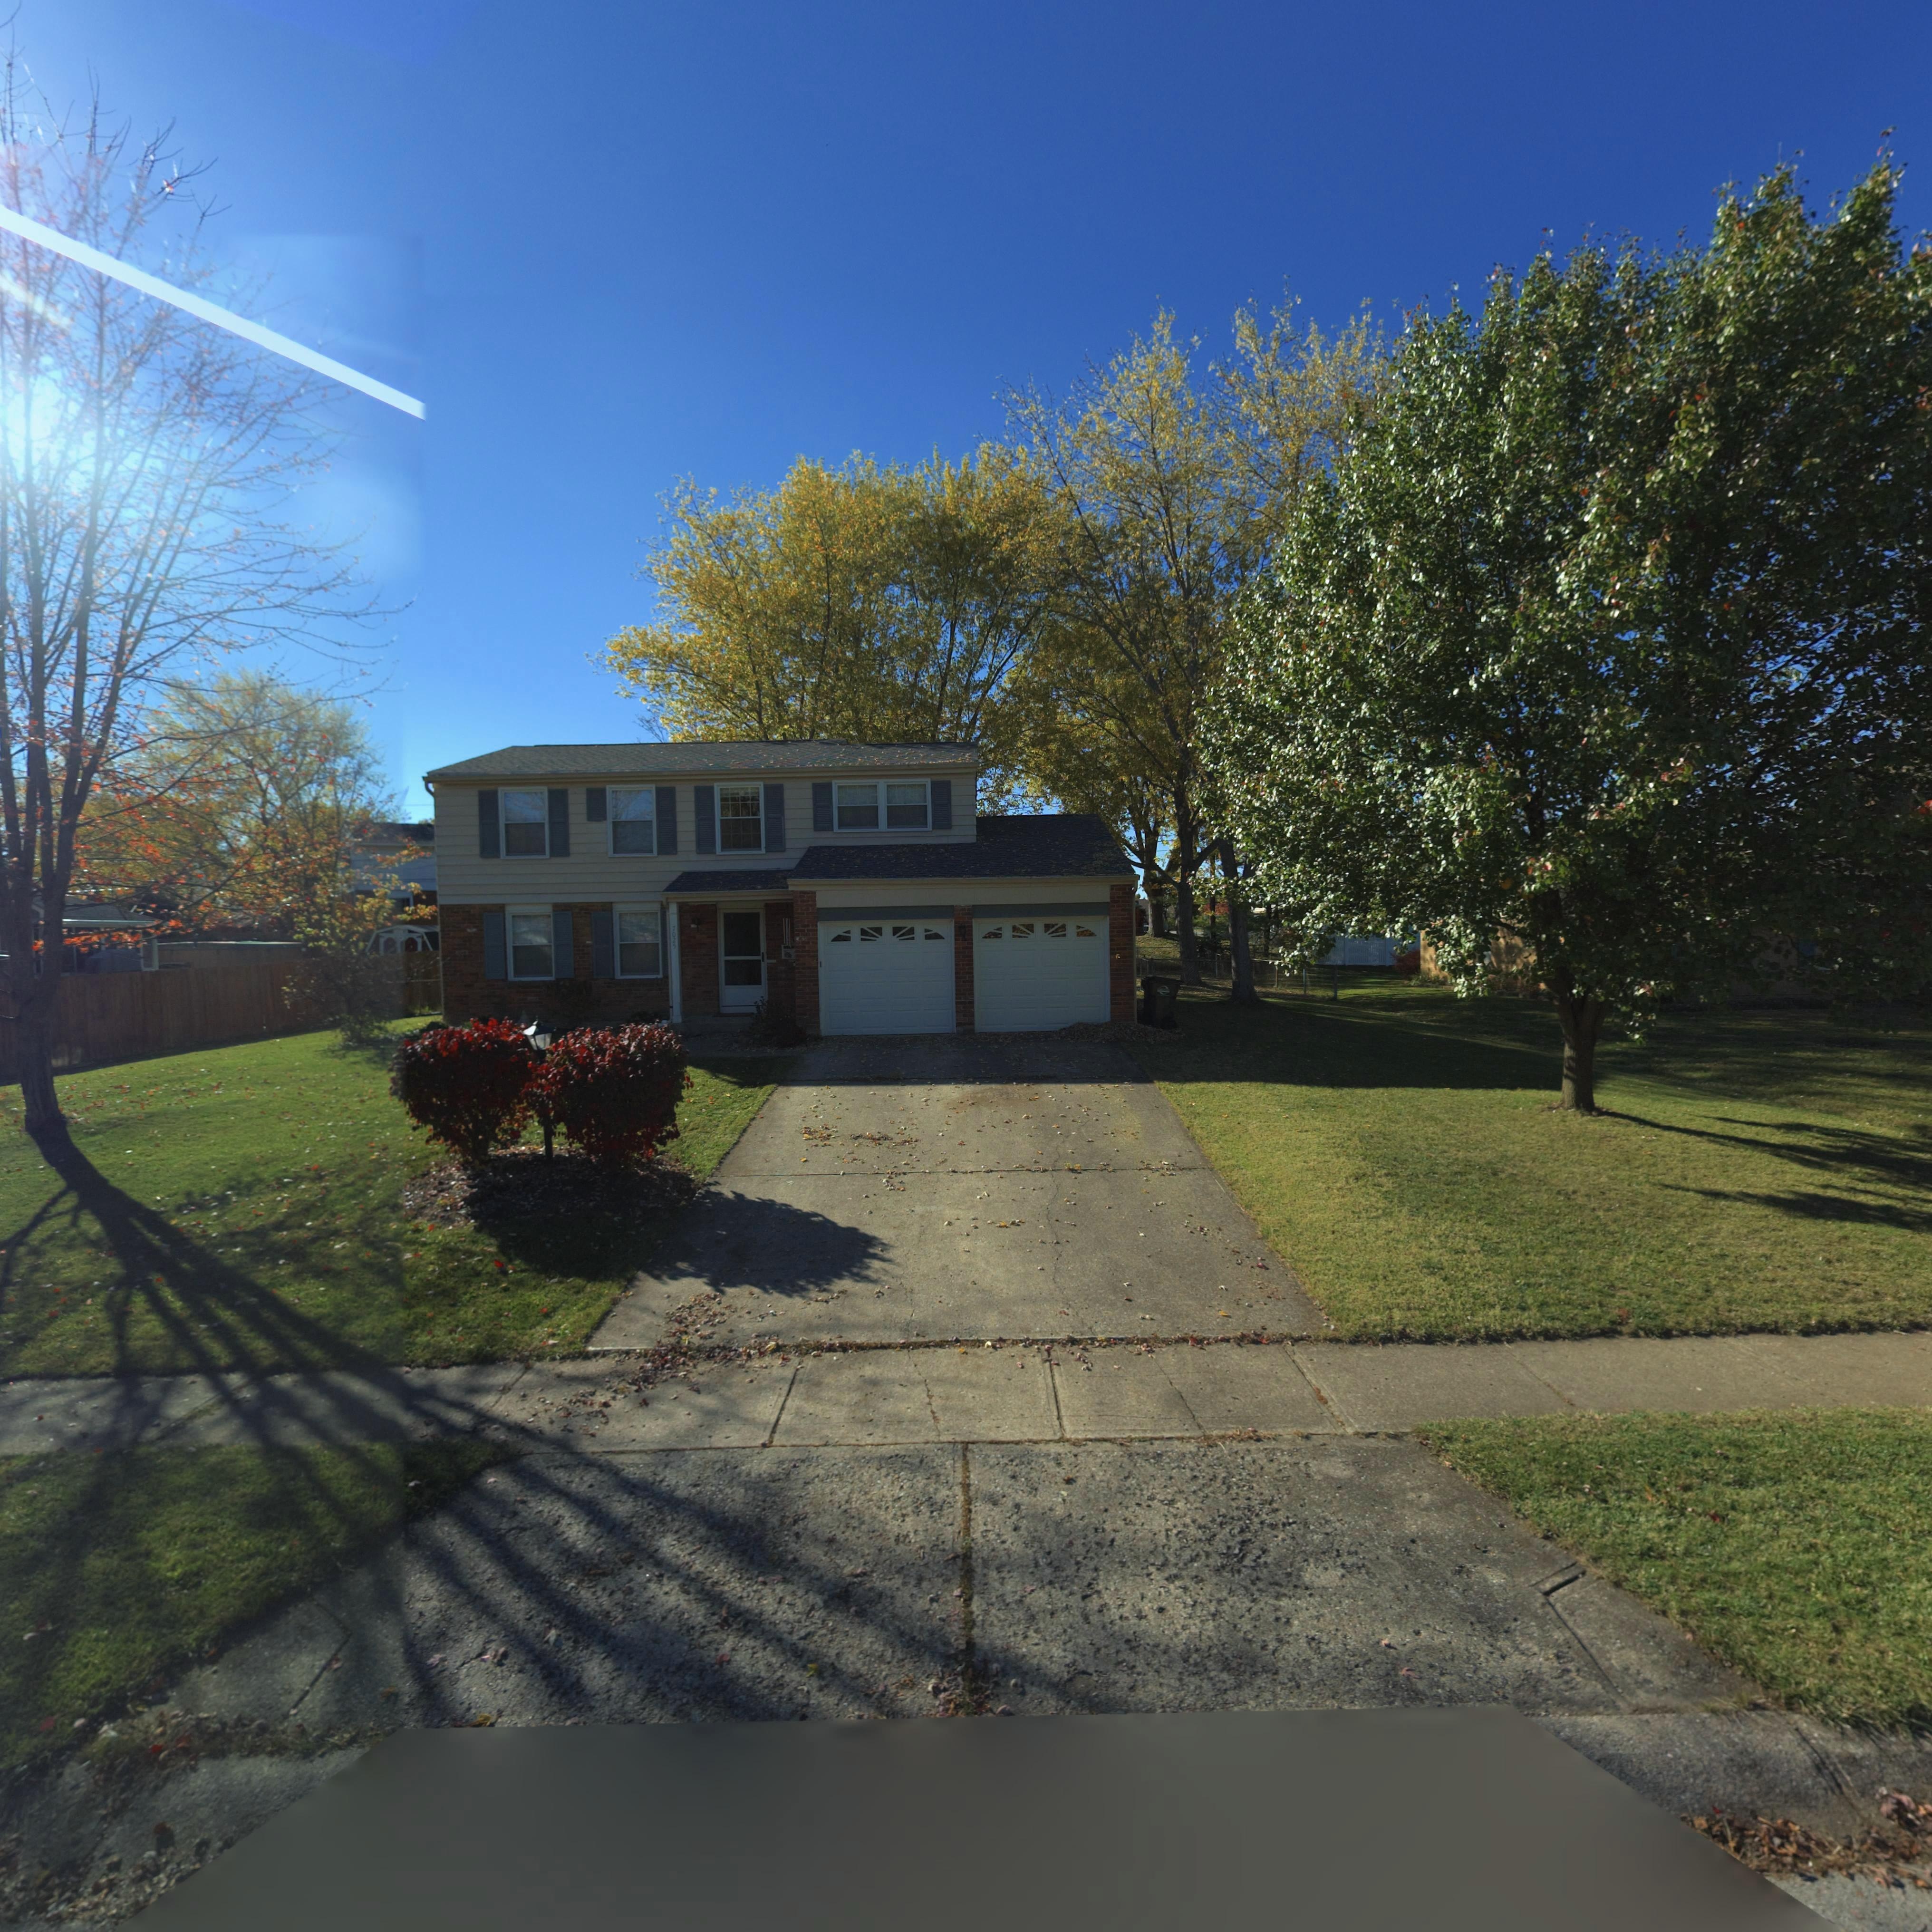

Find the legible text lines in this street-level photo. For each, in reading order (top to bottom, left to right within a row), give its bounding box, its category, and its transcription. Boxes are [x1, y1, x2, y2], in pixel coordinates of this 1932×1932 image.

[671, 924, 677, 951] StreetNumber: 7025